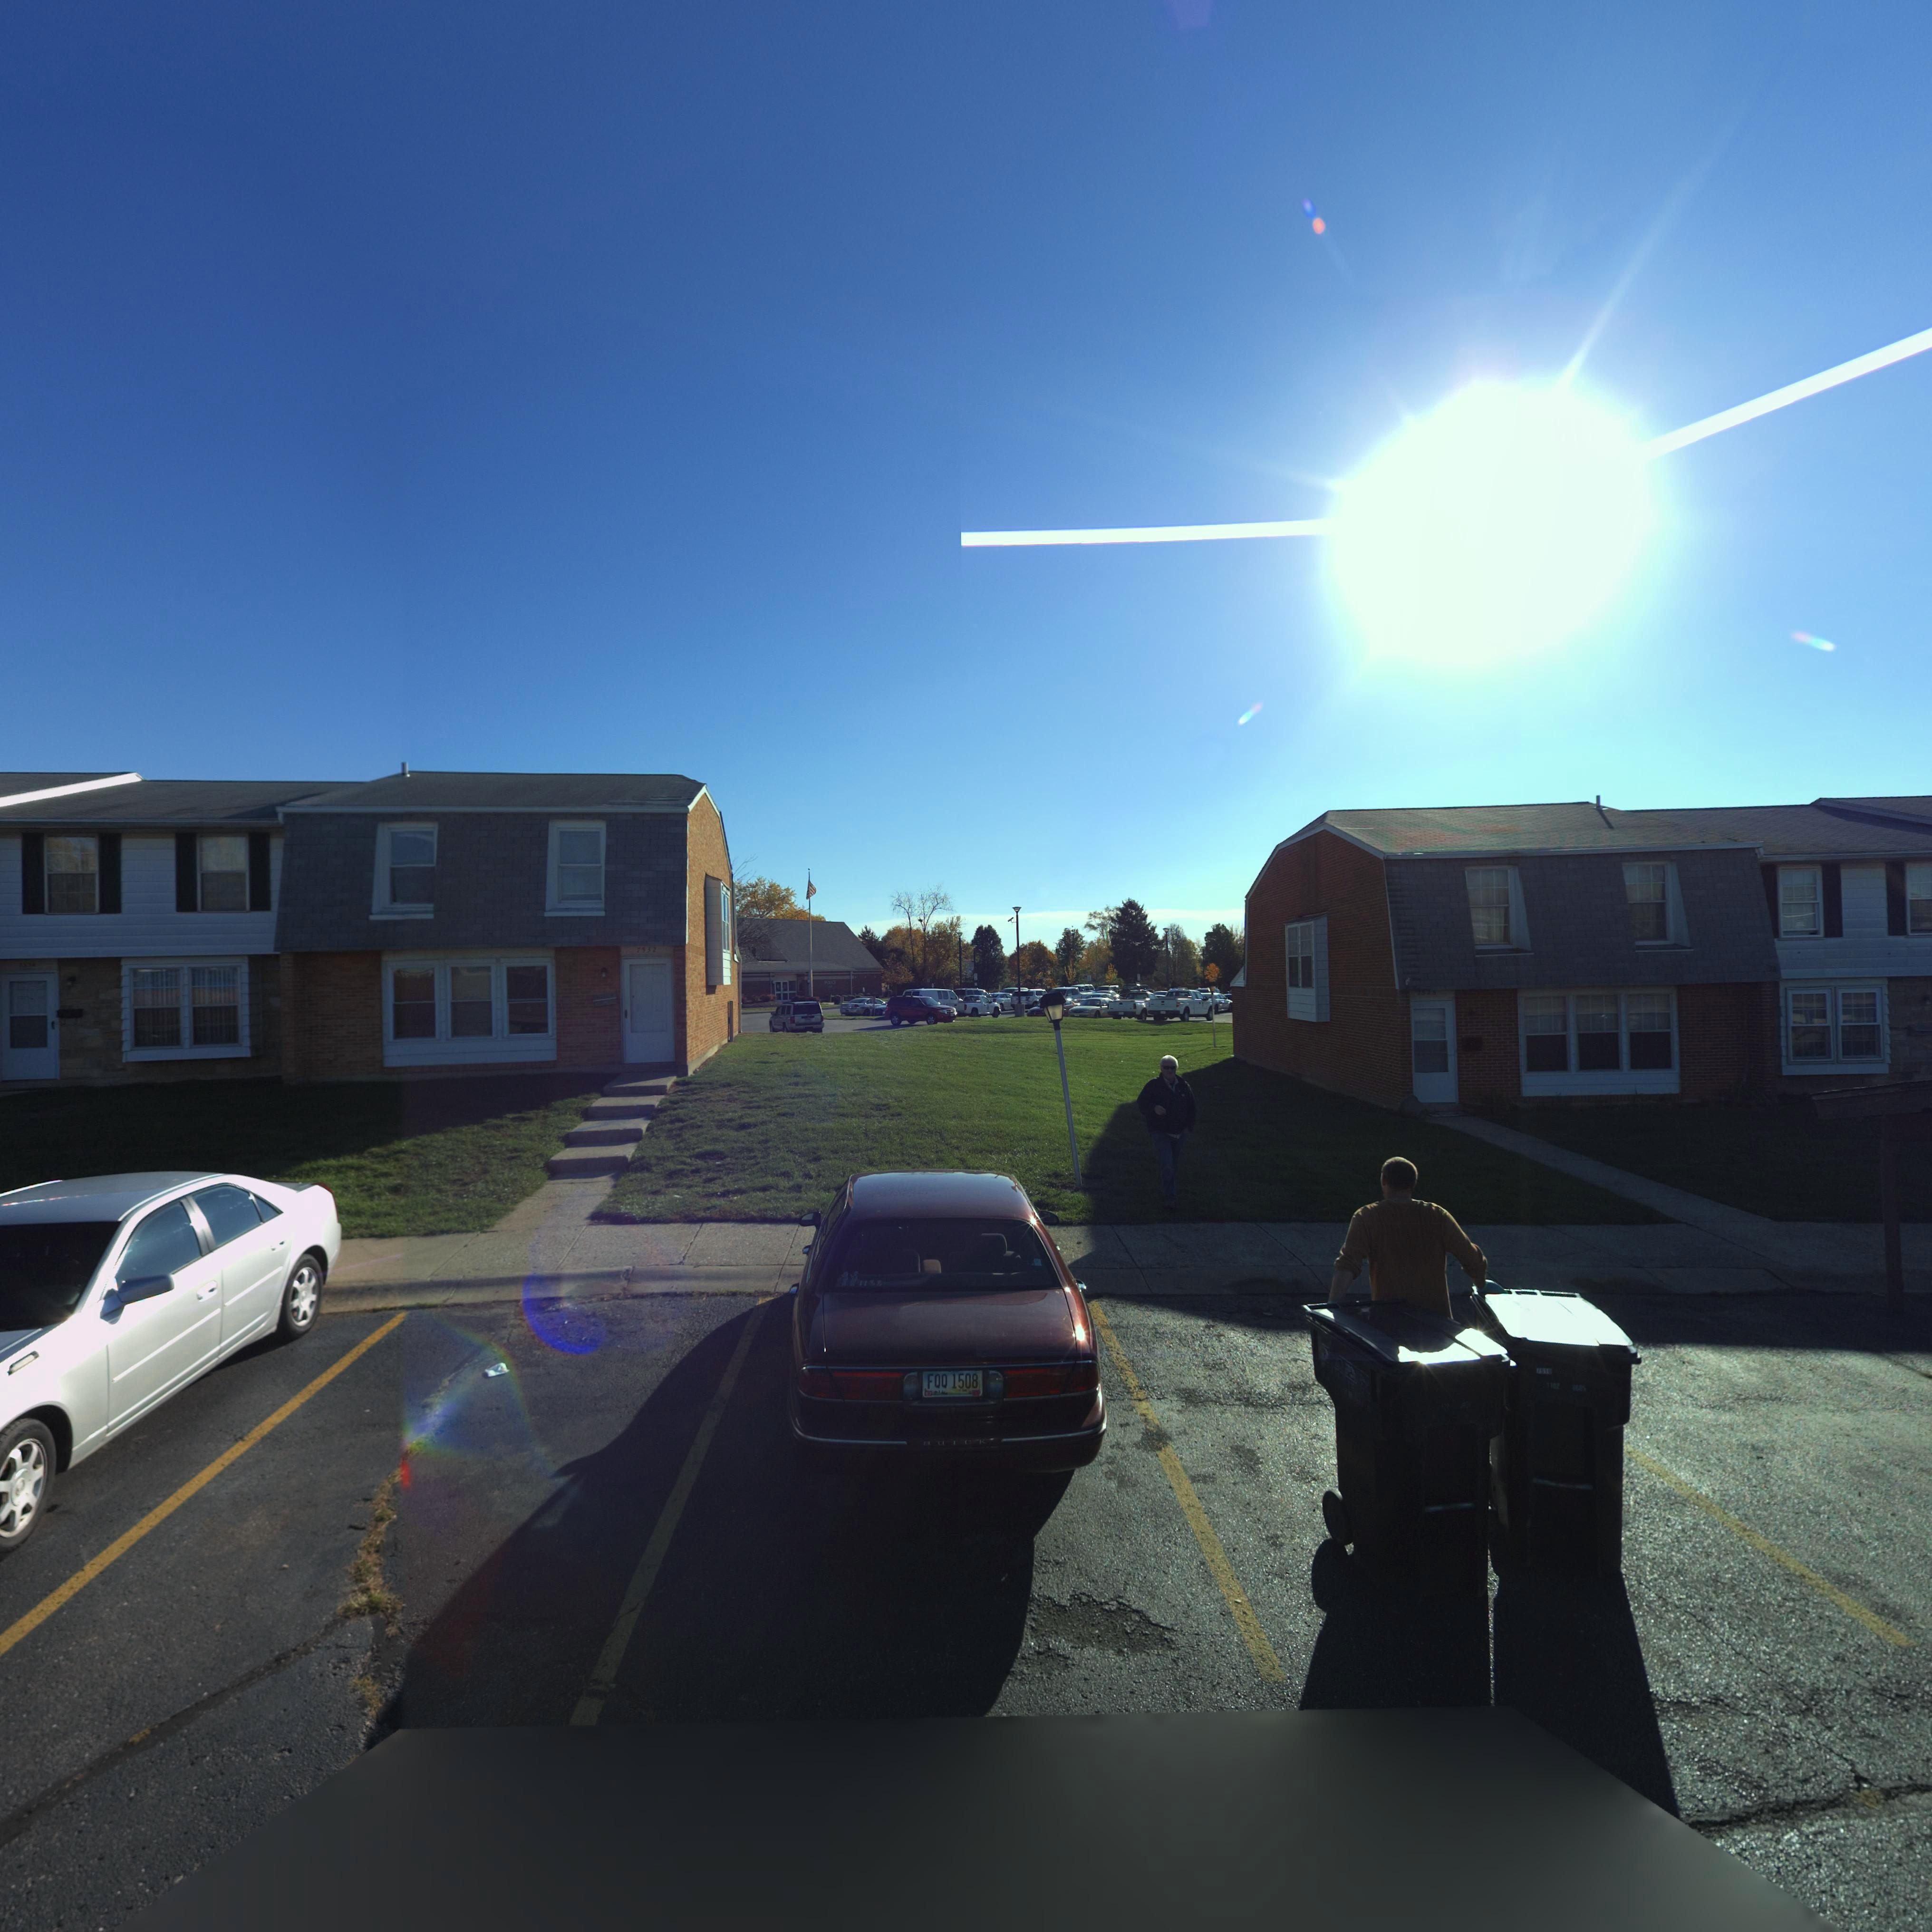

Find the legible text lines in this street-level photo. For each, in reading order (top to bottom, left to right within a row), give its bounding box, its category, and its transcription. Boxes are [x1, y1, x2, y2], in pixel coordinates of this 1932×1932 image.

[636, 946, 657, 953] StreetNumber: 7532
[18, 961, 37, 968] StreetNumber: 7534
[1417, 990, 1437, 995] StreetNumber: 7528